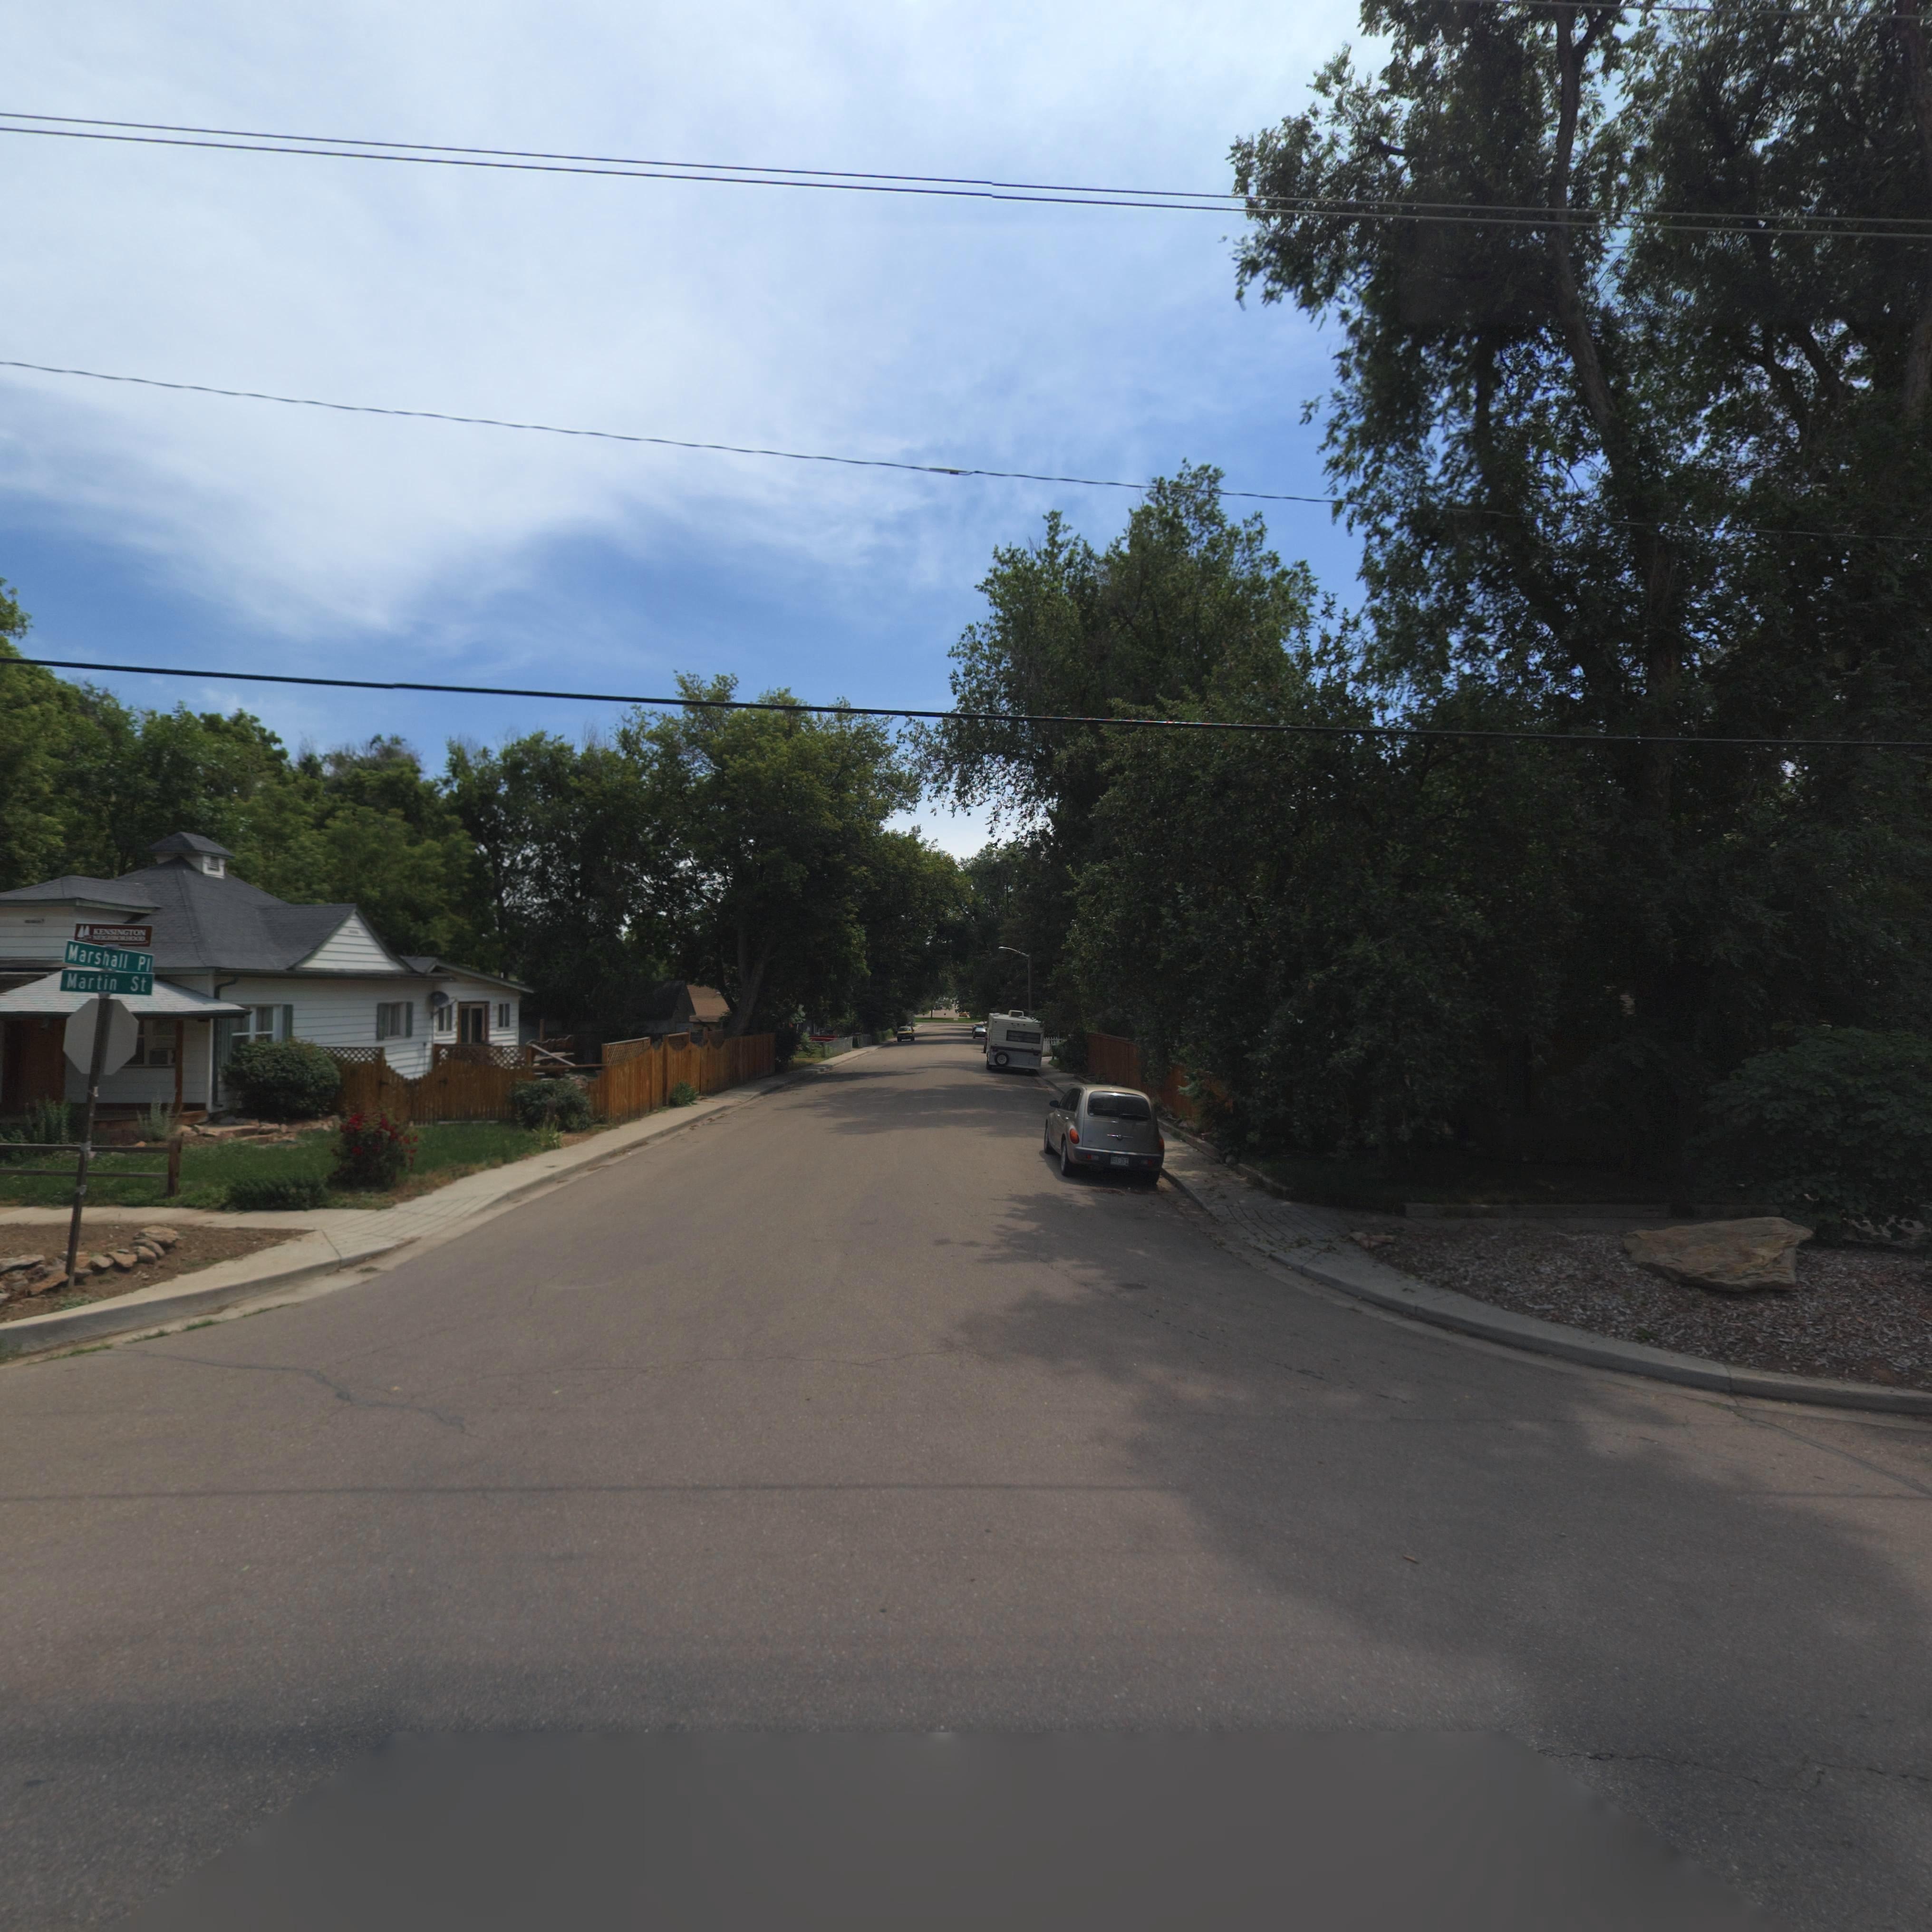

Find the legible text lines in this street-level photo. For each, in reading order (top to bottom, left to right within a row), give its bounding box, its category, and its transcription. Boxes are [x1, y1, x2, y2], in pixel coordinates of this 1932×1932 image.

[67, 944, 151, 972] StreetName: Marshall Pl
[67, 973, 146, 991] StreetName: Martin St